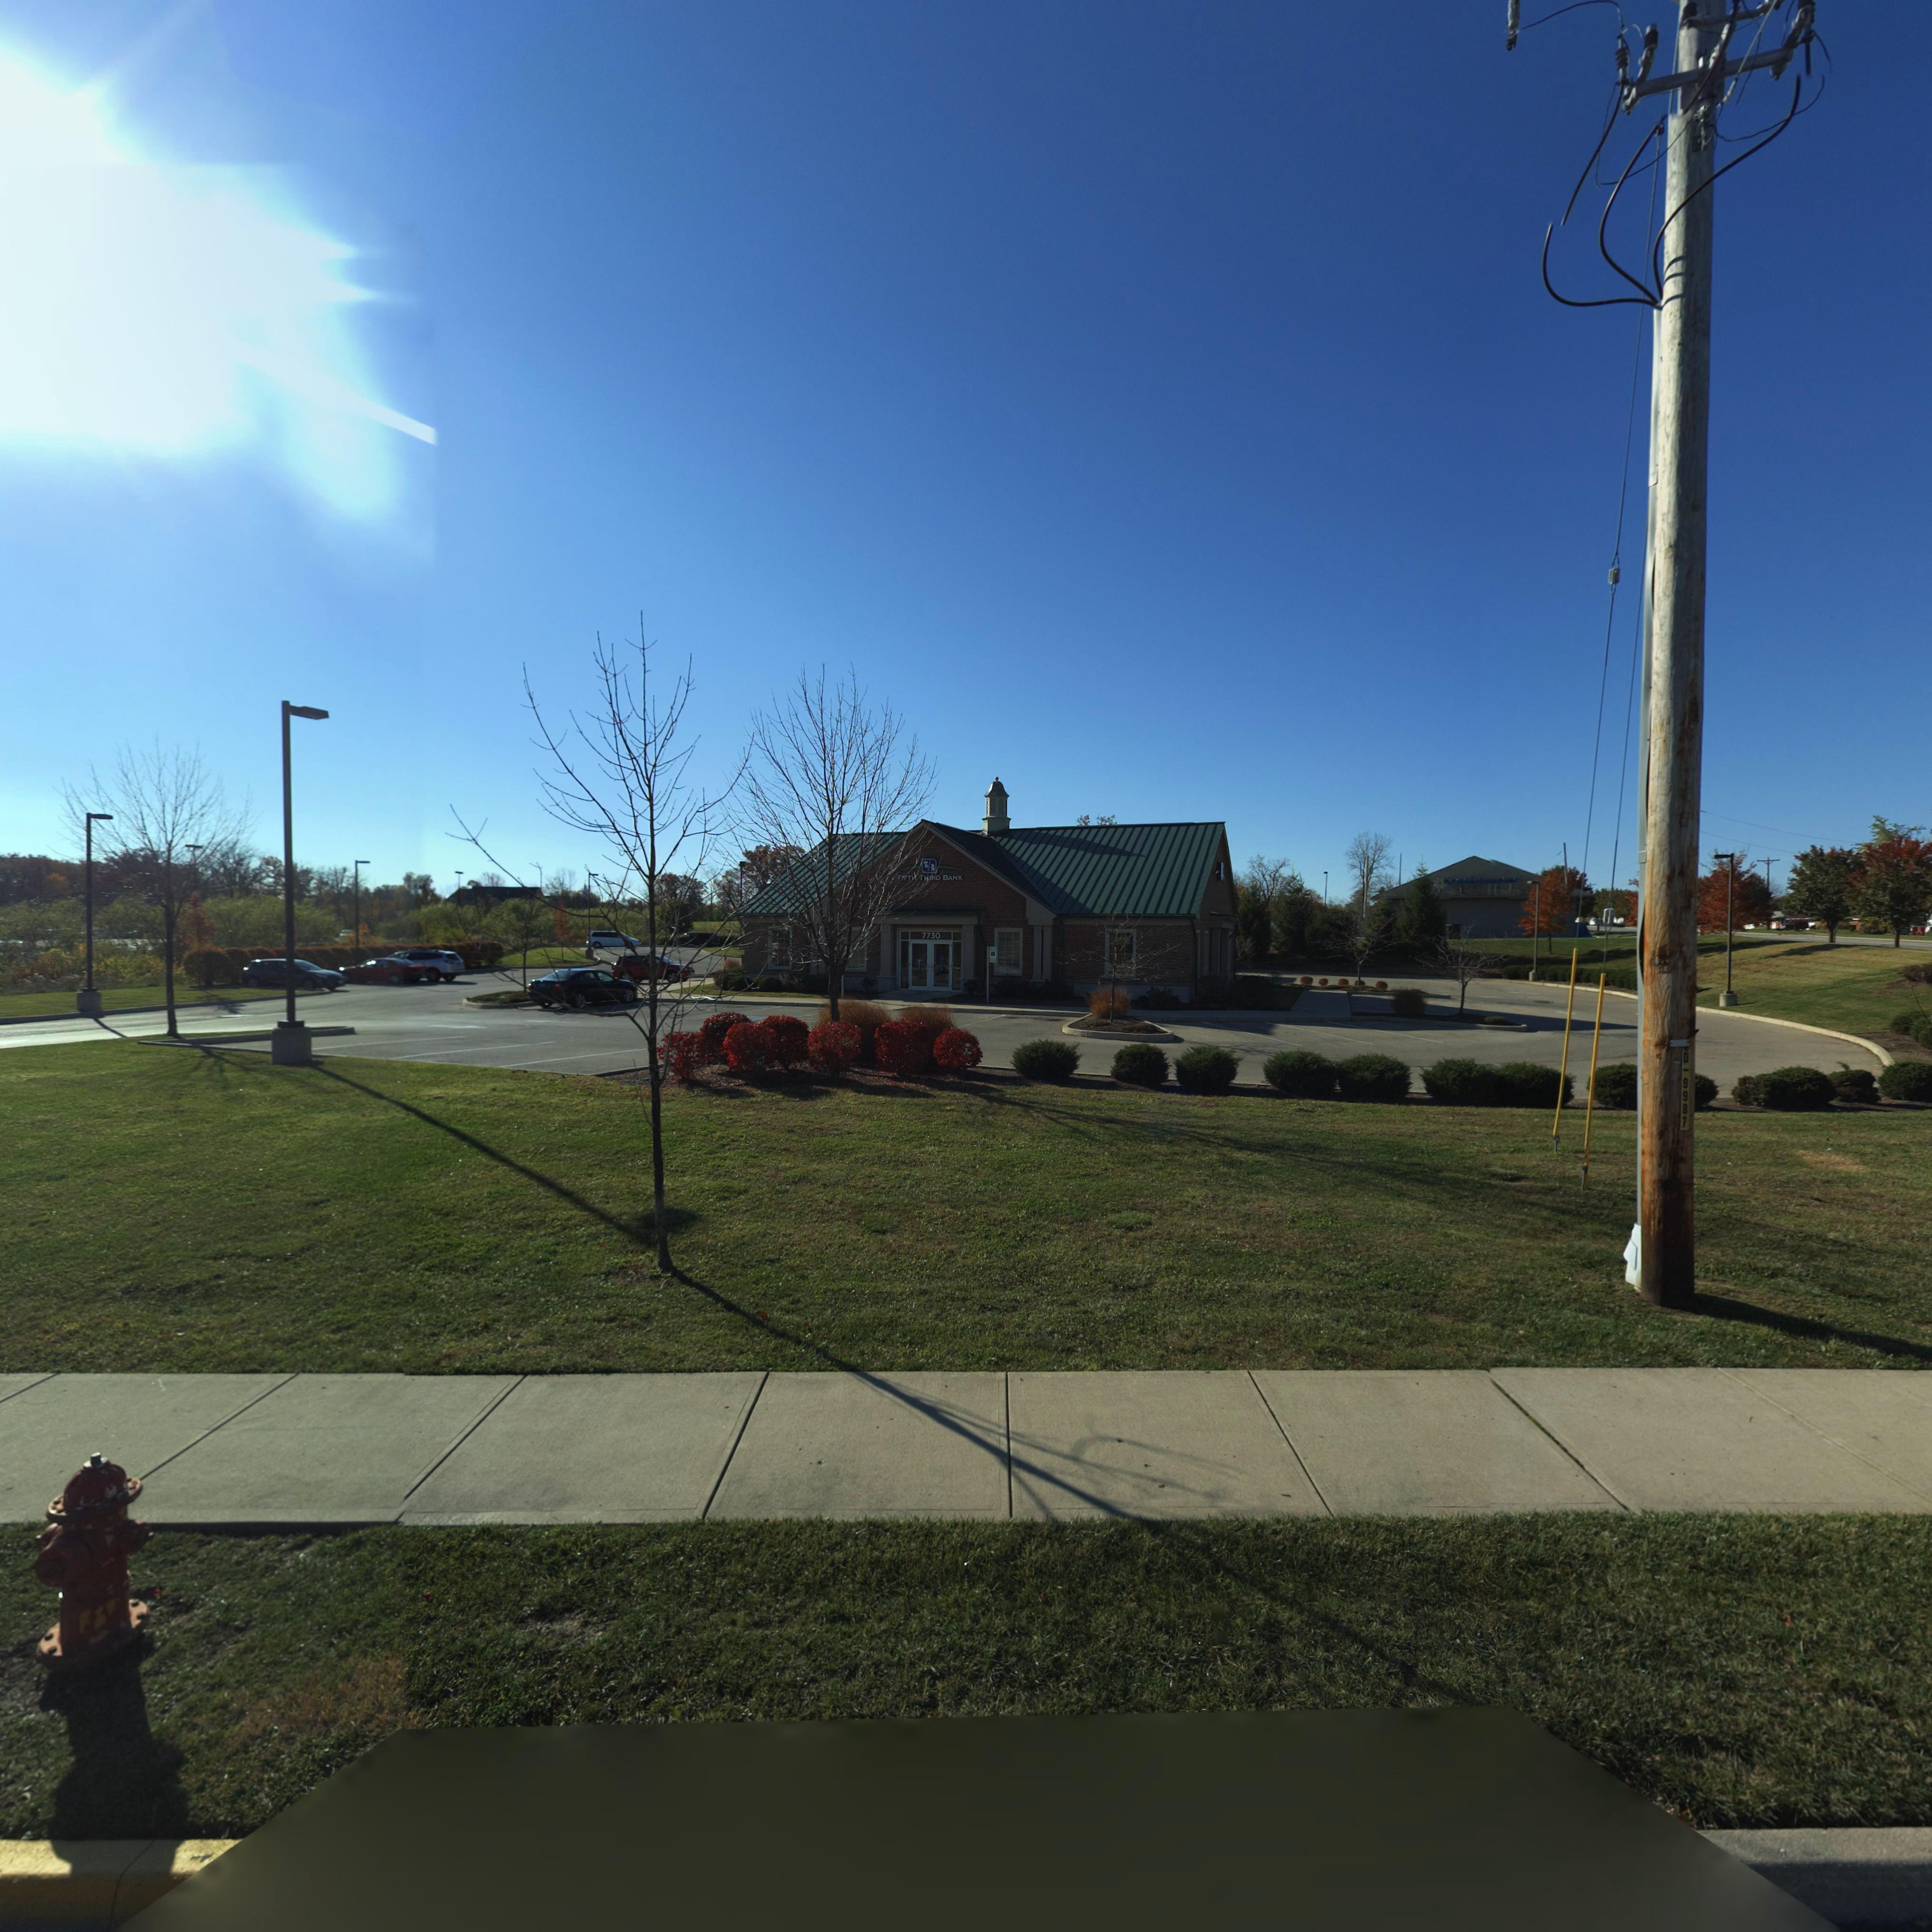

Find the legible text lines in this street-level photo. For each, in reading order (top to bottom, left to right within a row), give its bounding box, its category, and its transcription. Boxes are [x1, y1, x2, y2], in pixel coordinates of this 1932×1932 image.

[897, 874, 963, 881] BusinessName: FIFTH THIRD BANK
[921, 931, 941, 940] StreetNumber: 7730